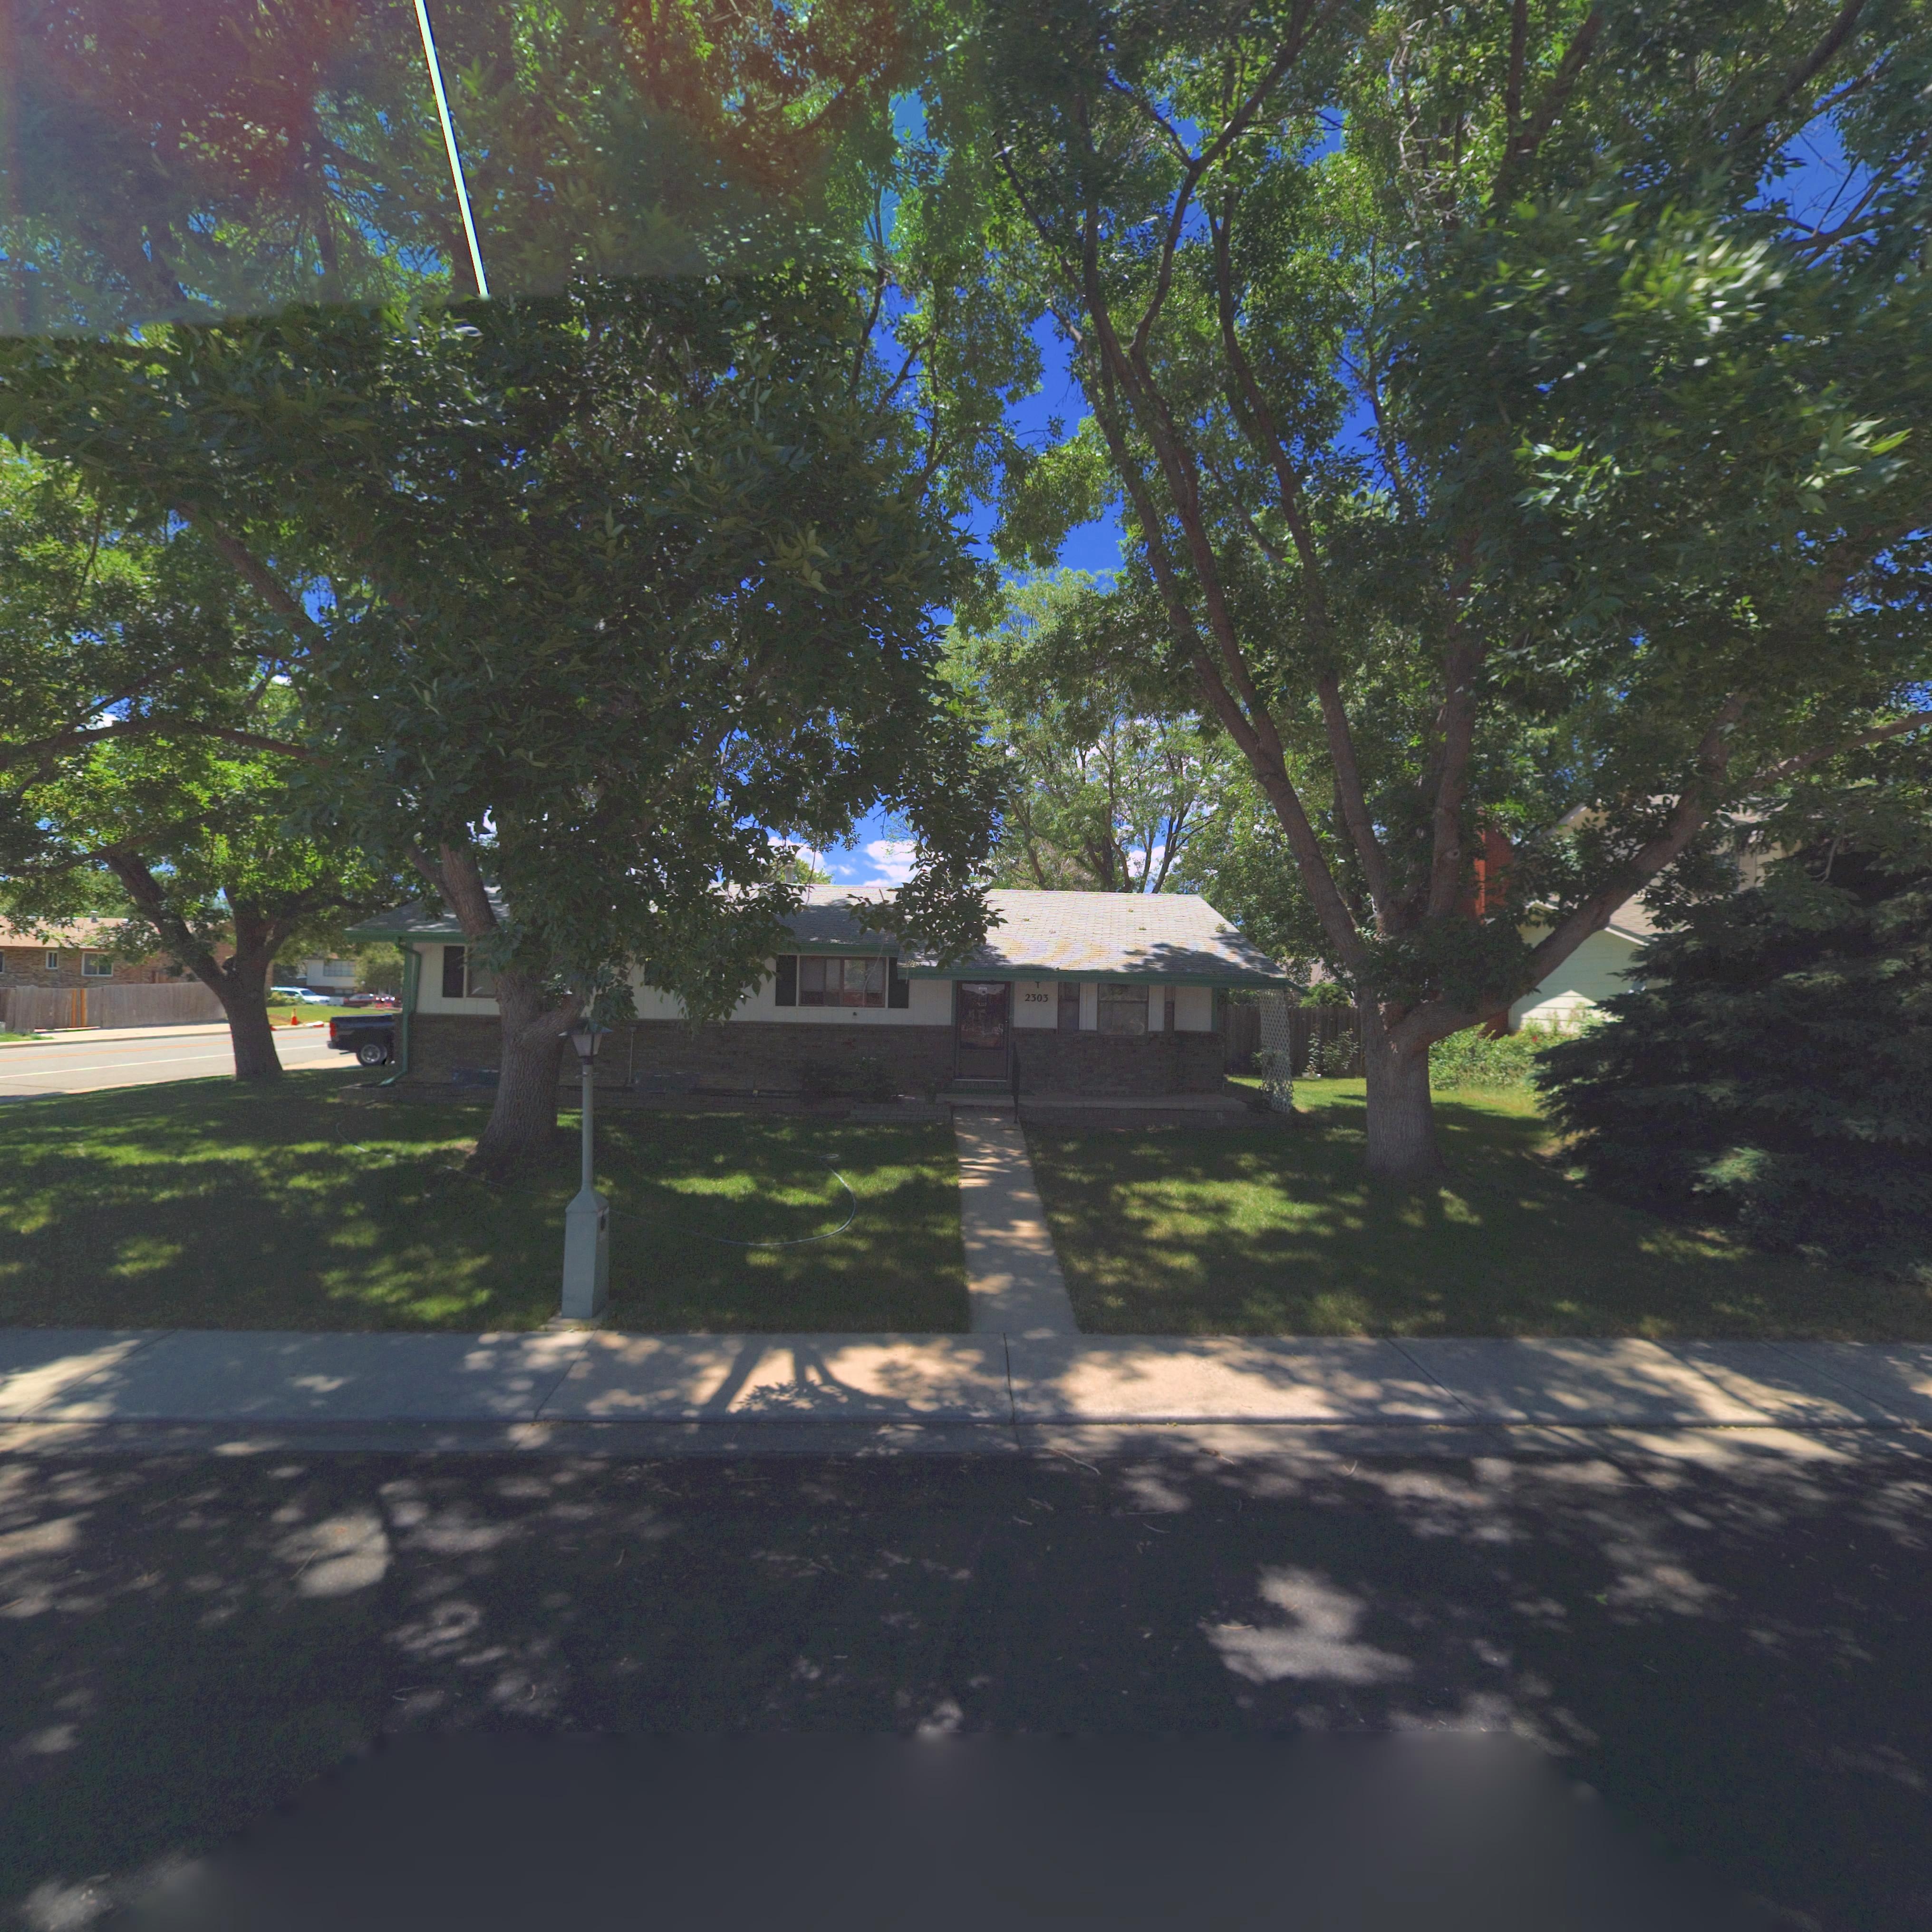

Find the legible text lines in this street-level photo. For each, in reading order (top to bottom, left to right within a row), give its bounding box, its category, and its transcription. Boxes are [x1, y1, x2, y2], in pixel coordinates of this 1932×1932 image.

[1024, 993, 1048, 1002] StreetNumber: 2303